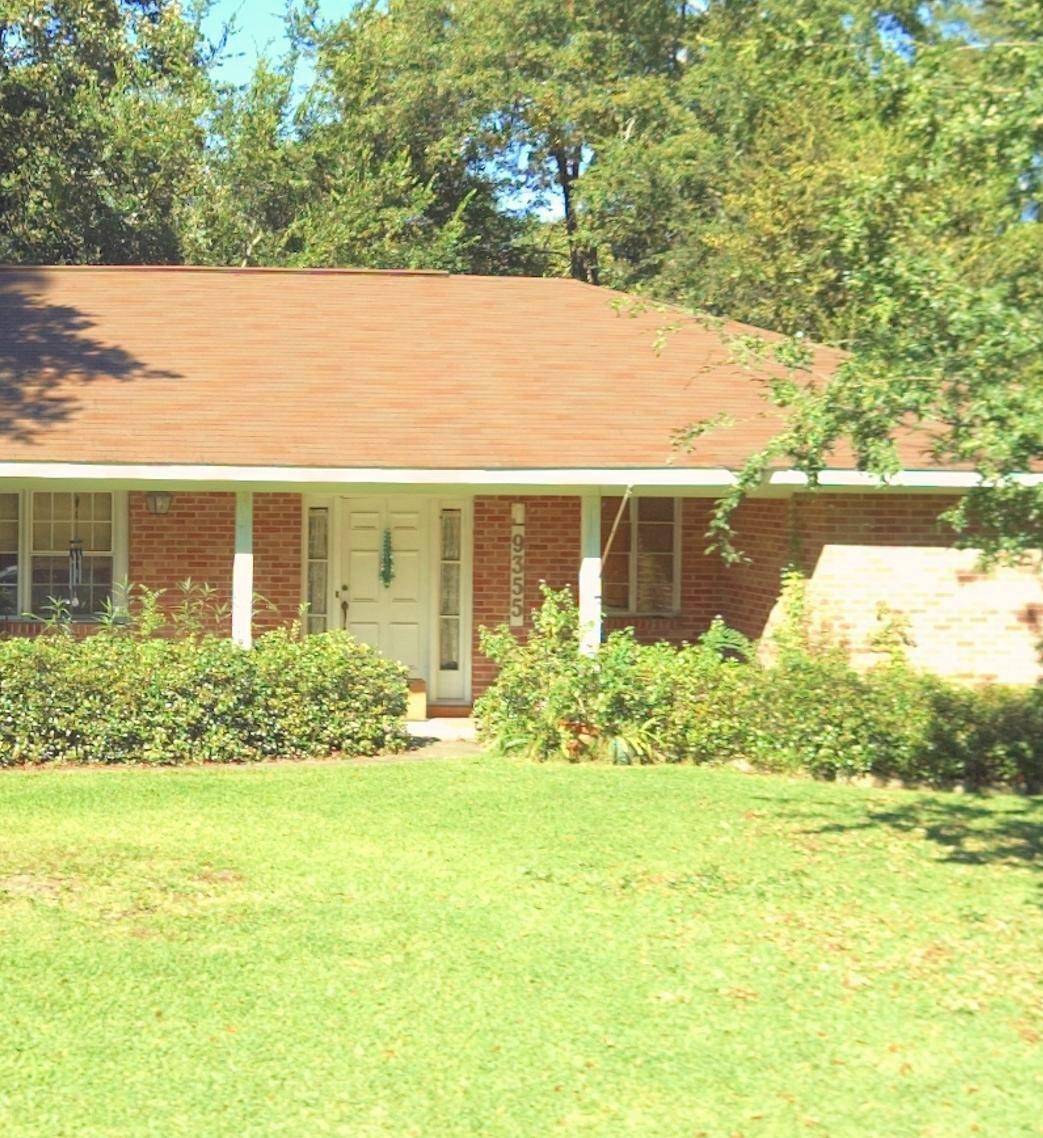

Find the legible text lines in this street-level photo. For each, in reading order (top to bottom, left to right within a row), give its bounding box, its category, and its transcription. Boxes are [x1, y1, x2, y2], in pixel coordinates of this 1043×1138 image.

[511, 533, 524, 619] StreetNumber: 9355